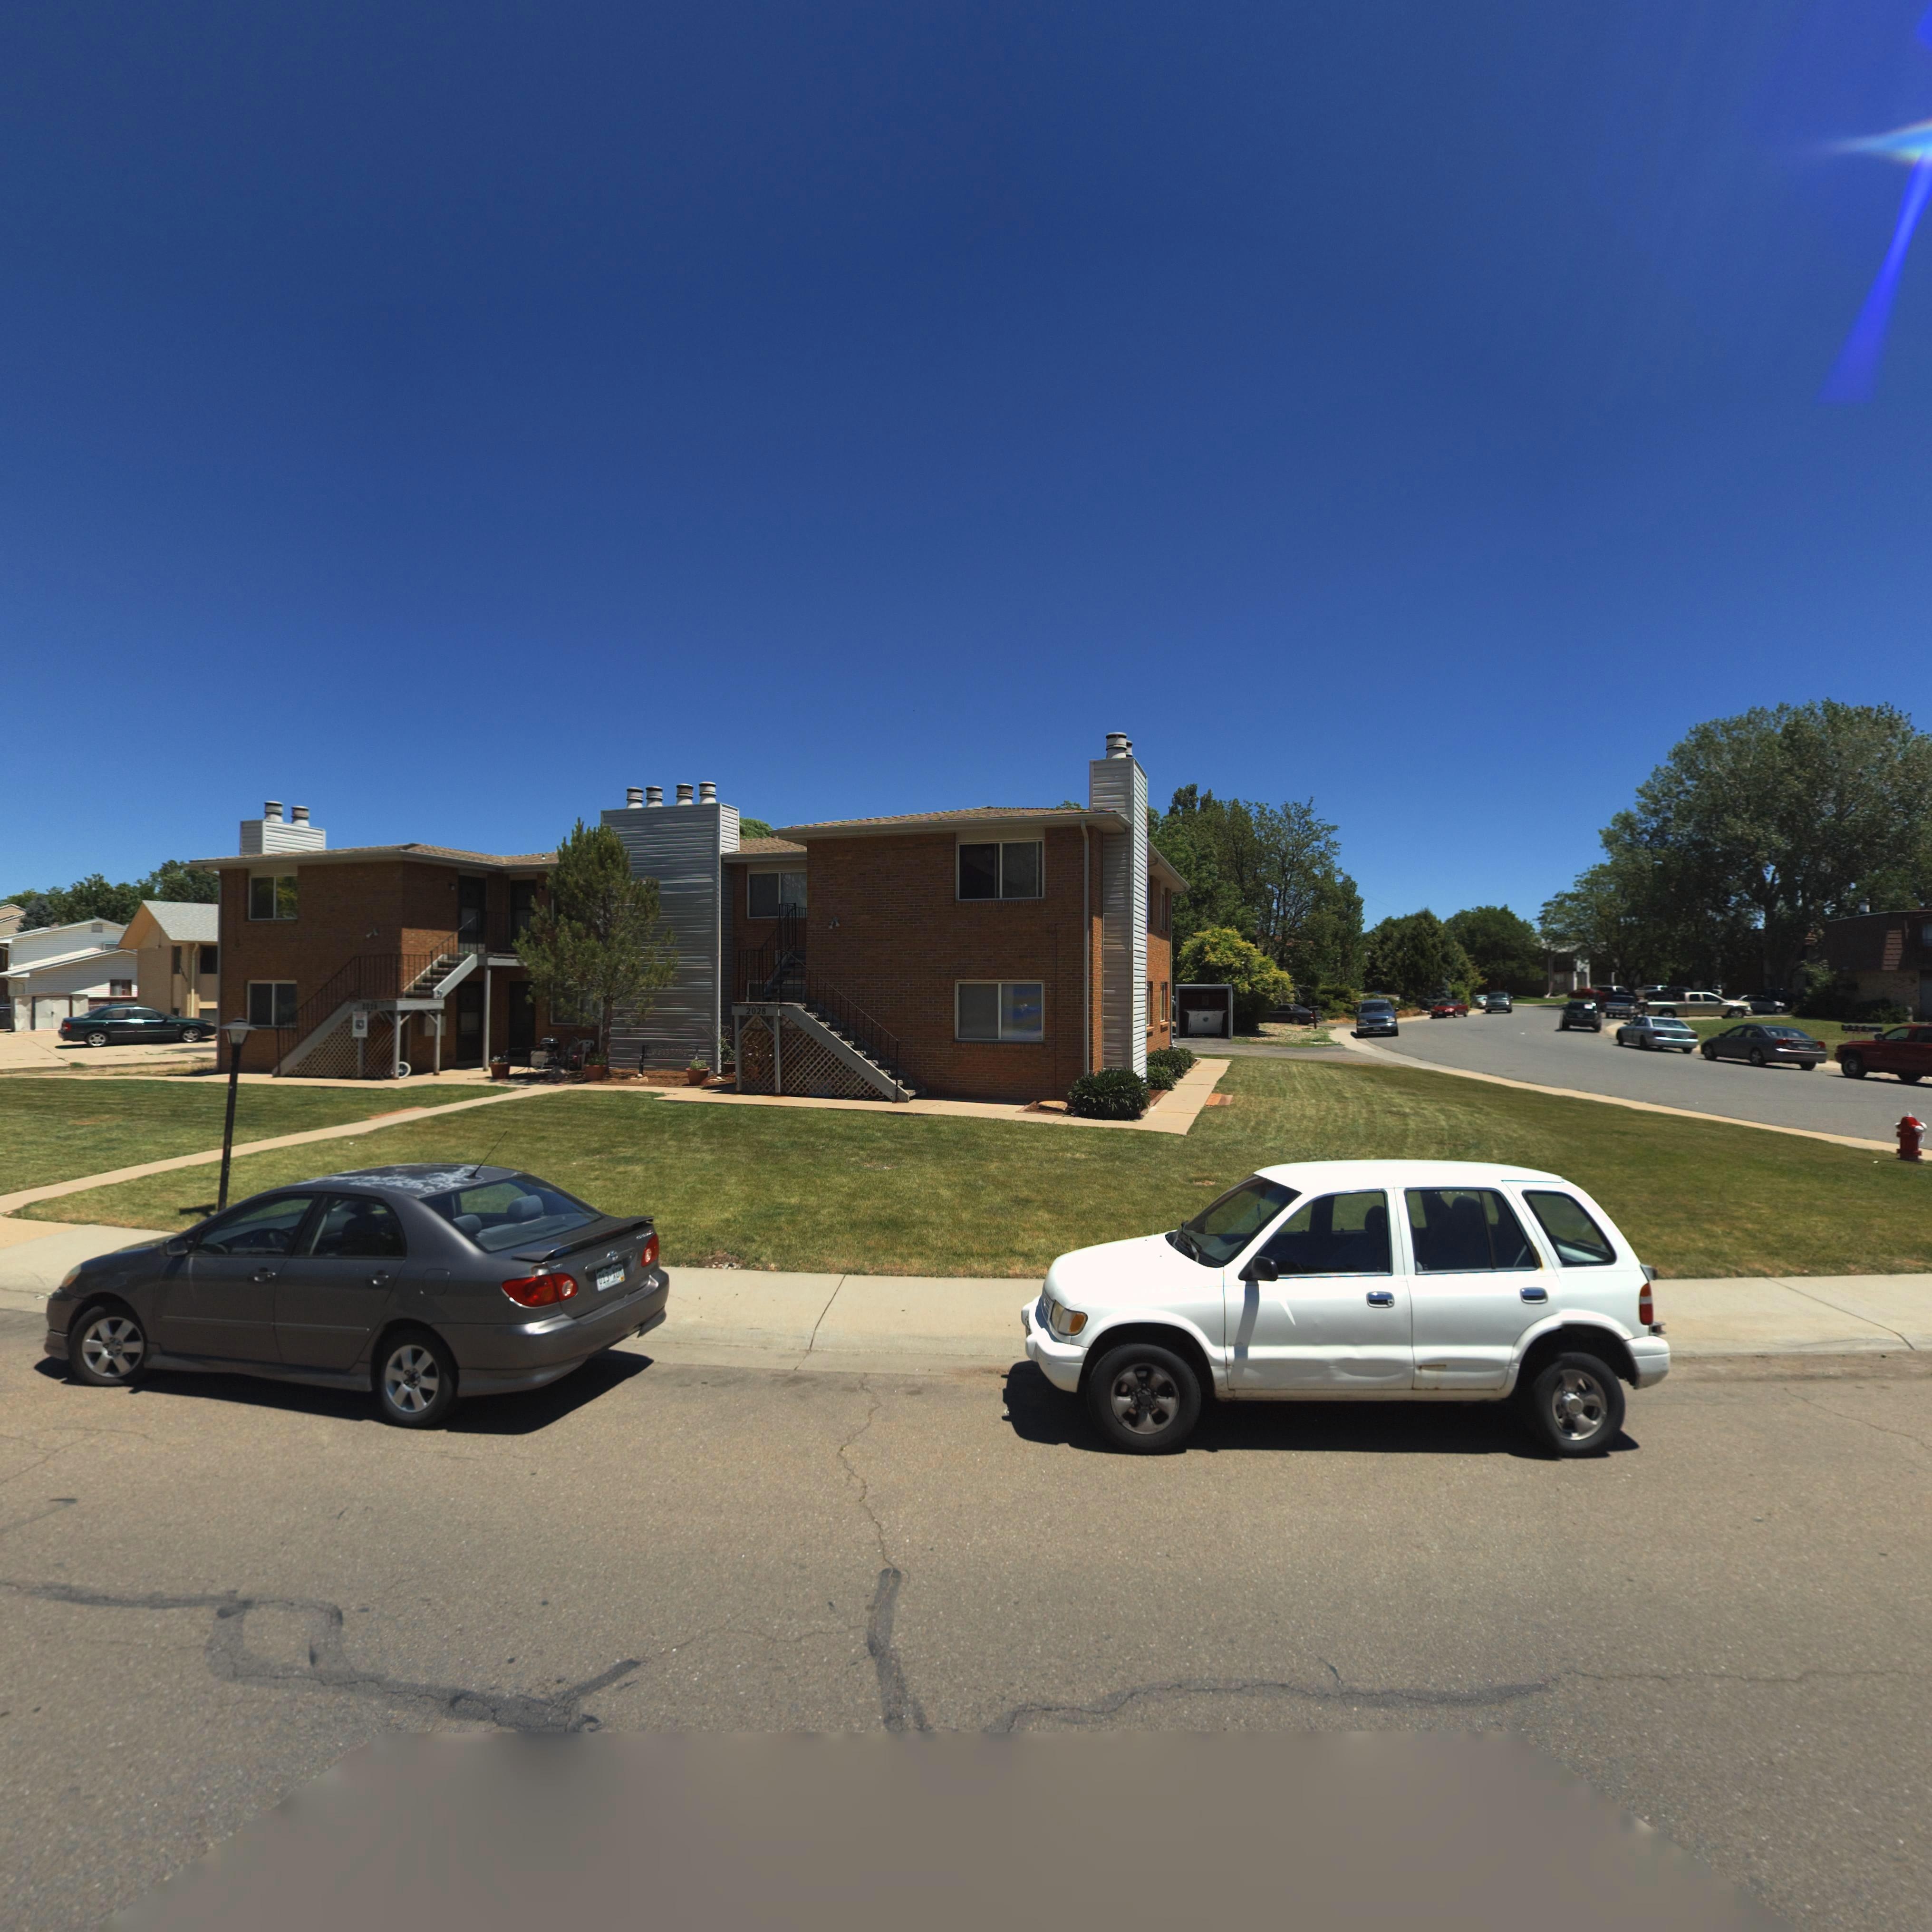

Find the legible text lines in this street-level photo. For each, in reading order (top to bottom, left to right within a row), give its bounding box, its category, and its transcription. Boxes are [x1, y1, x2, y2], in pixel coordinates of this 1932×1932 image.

[362, 1002, 377, 1010] StreetNumber: 20**
[746, 1007, 766, 1015] StreetNumber: 2028